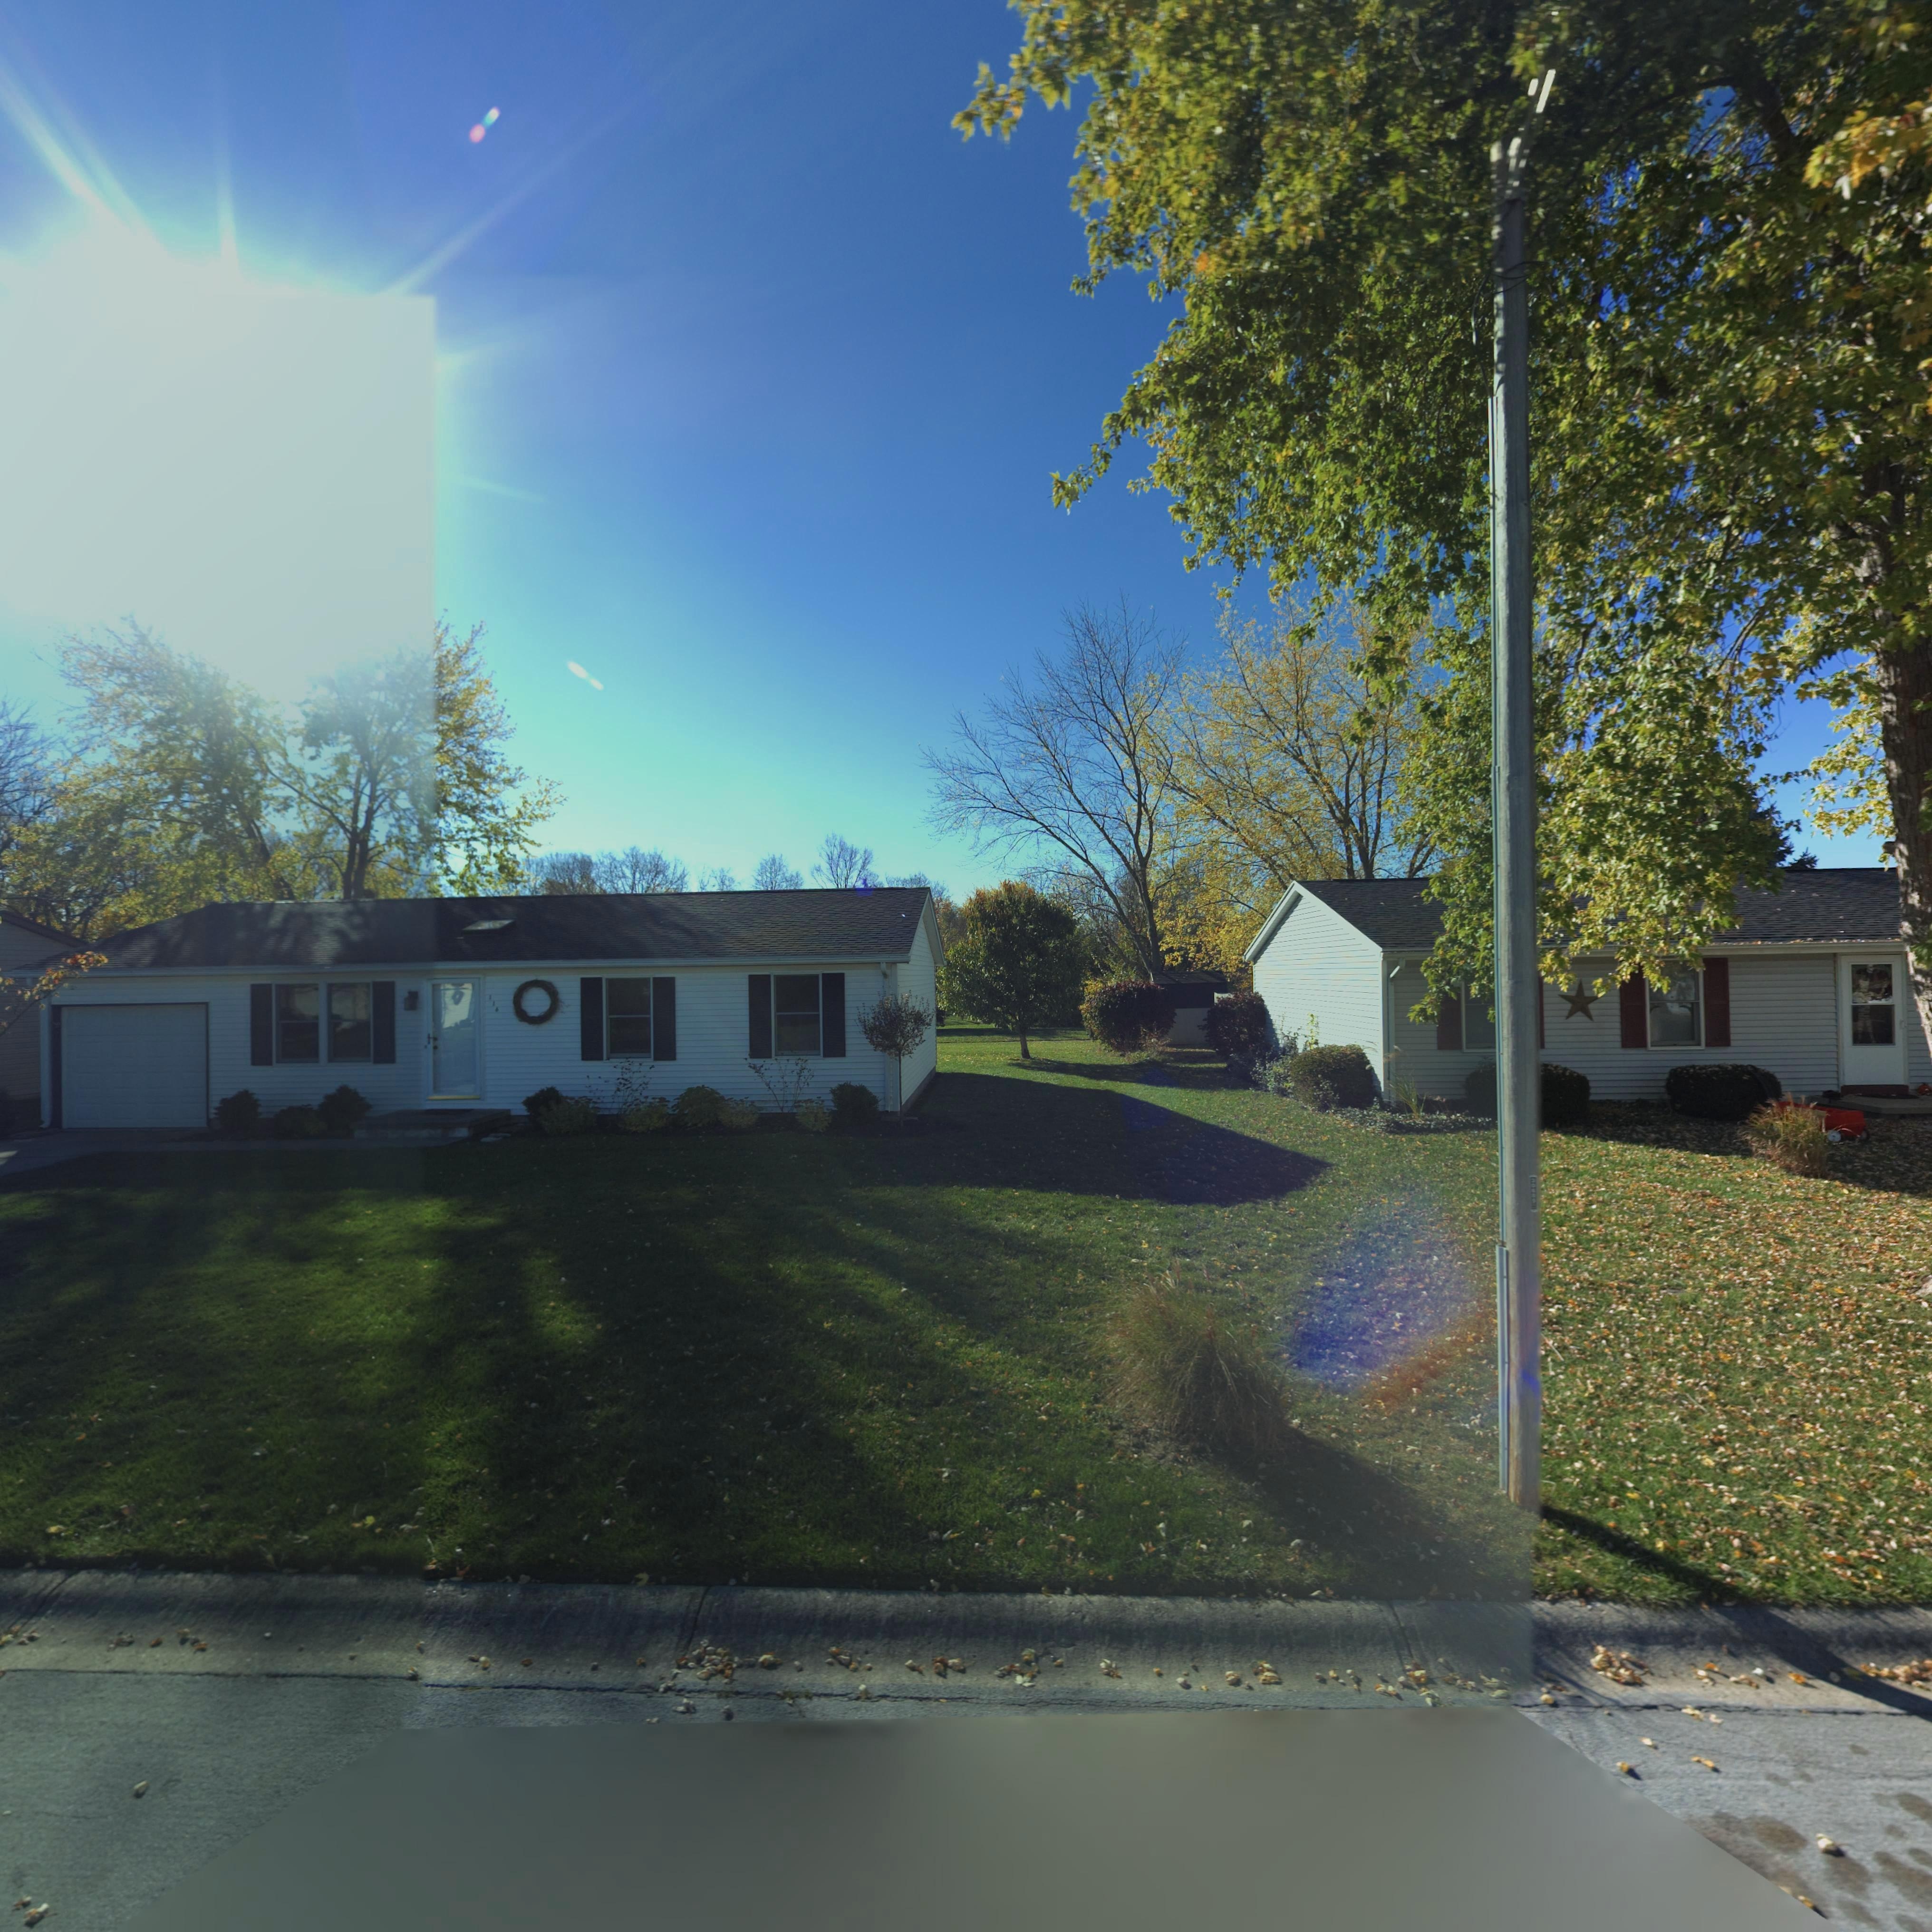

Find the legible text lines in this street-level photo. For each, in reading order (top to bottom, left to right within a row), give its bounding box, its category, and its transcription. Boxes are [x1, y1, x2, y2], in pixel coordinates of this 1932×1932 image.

[488, 994, 499, 1013] StreetNumber: 116